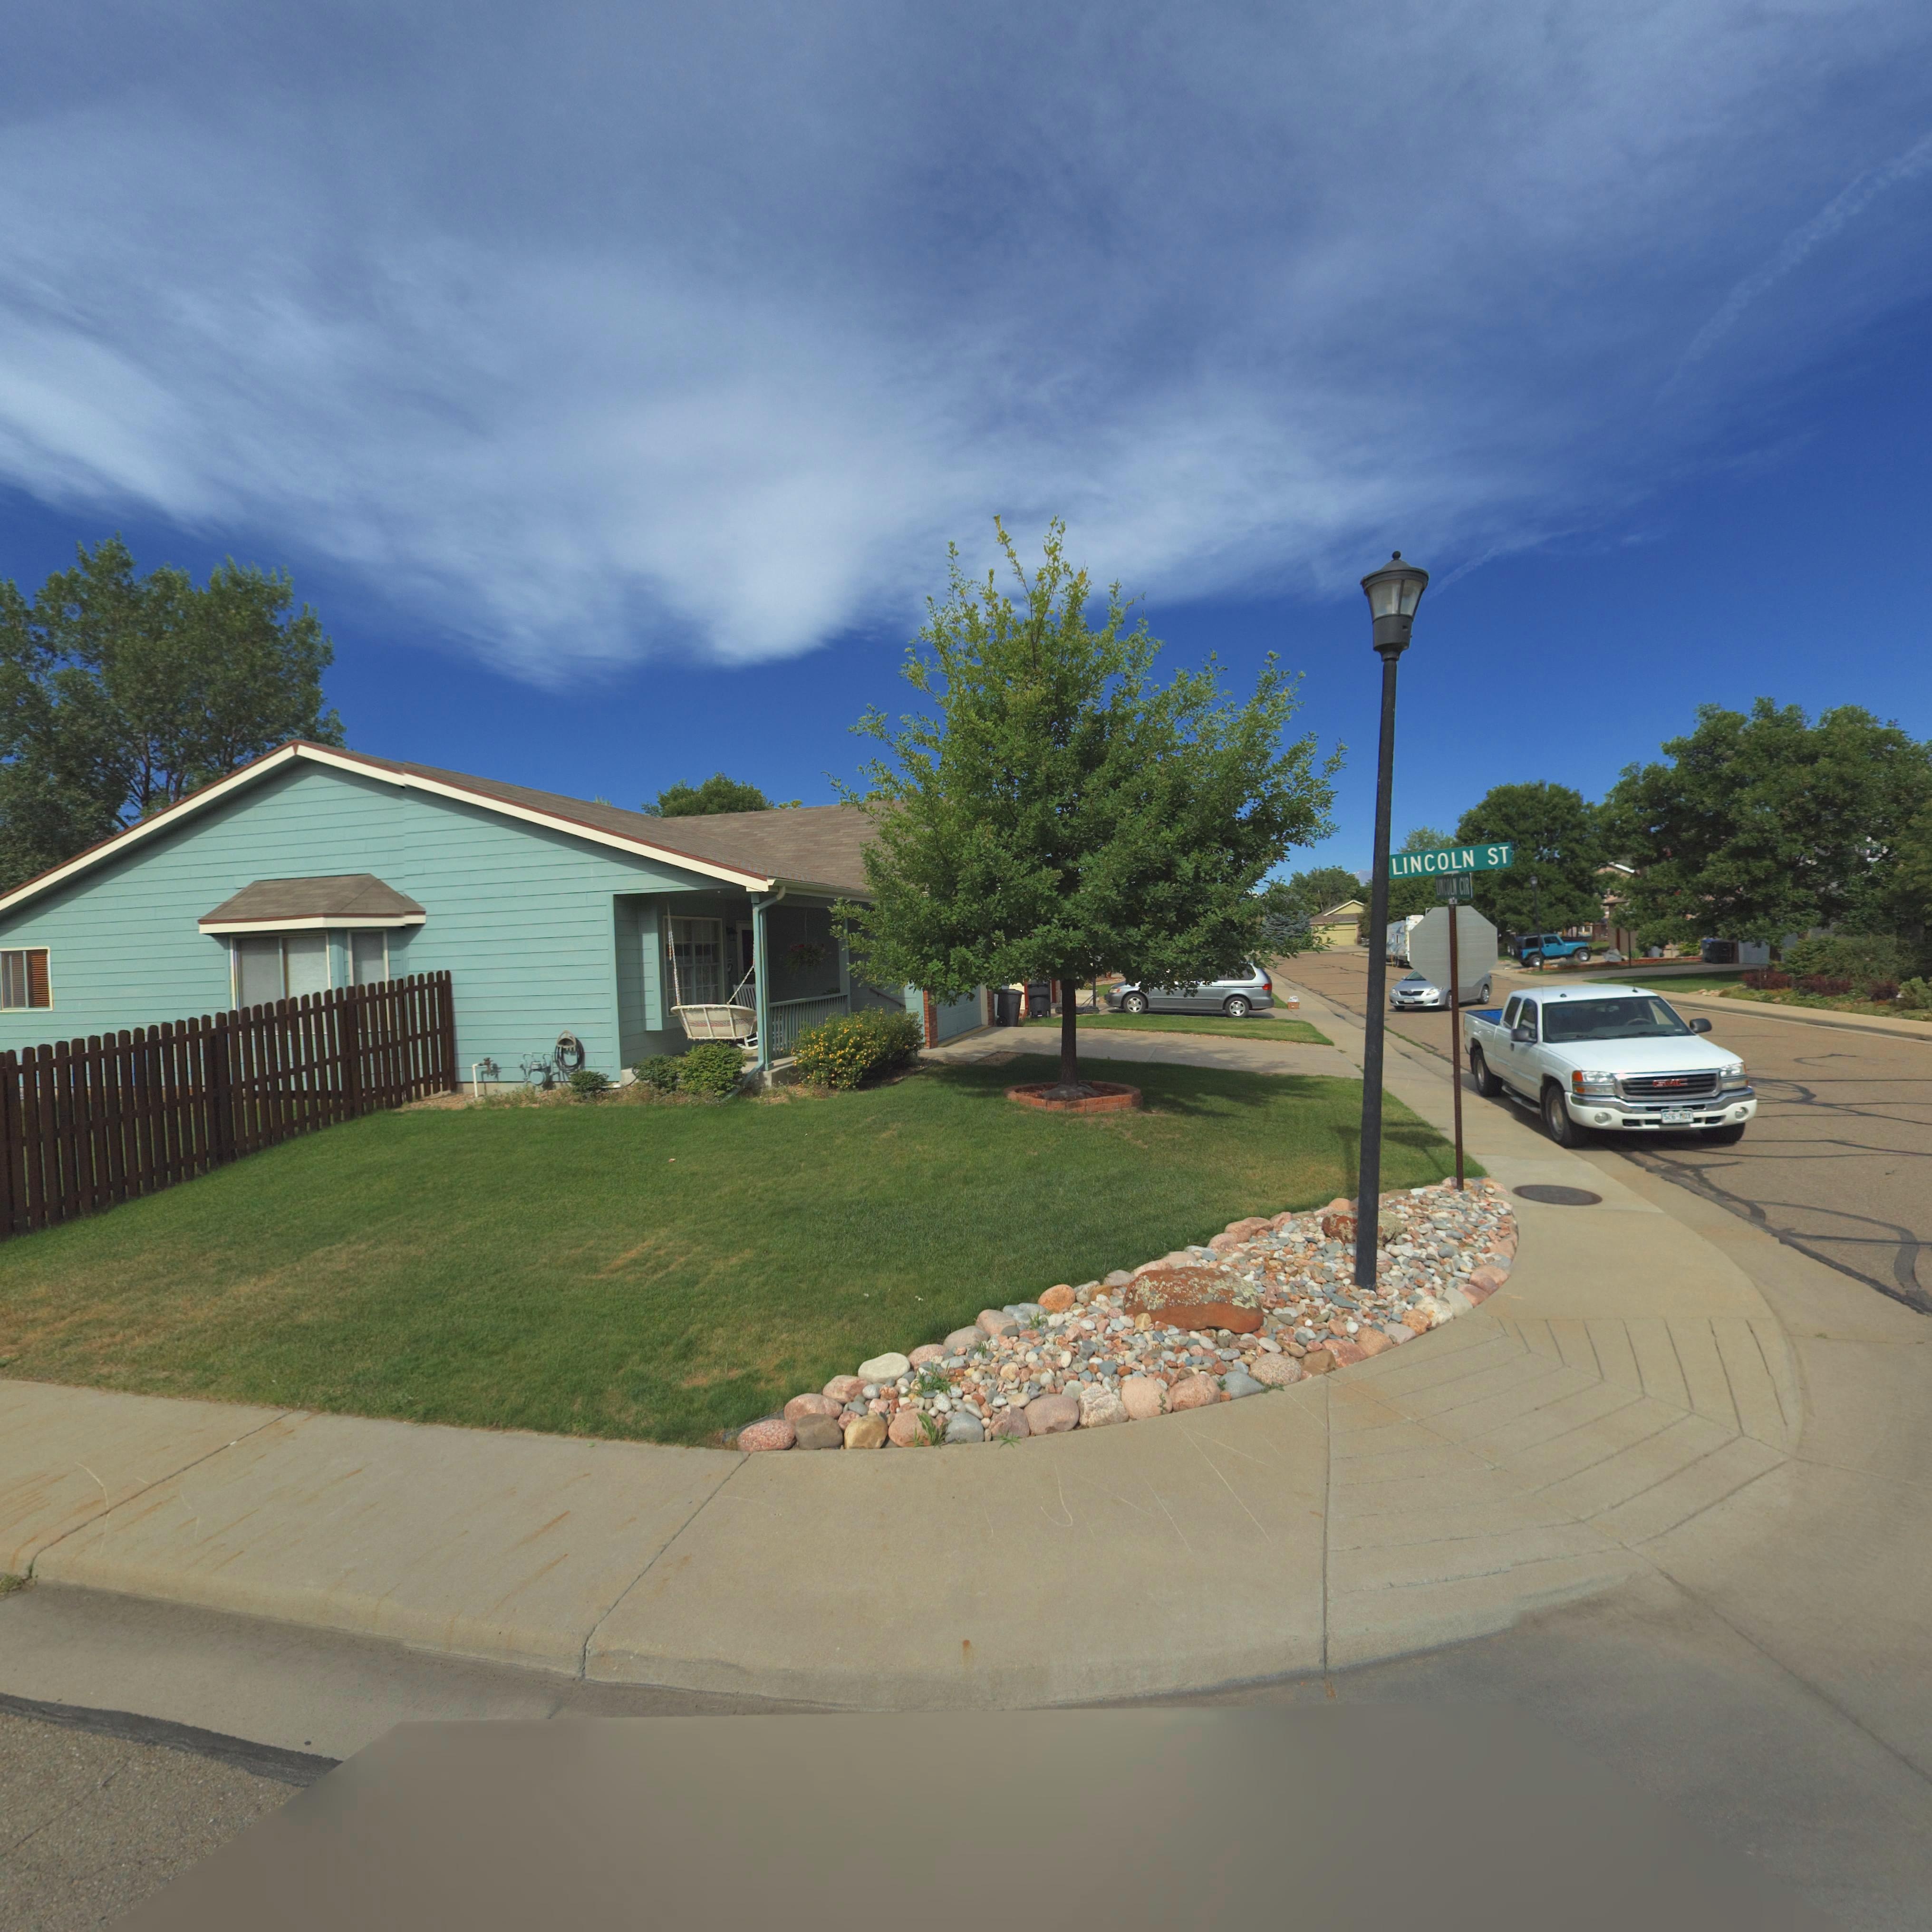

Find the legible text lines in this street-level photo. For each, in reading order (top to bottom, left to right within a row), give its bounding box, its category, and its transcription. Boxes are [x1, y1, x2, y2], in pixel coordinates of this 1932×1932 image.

[1391, 845, 1509, 875] StreetName: LINCOLN ST
[1436, 877, 1470, 895] StreetName: LINCOLN CIR